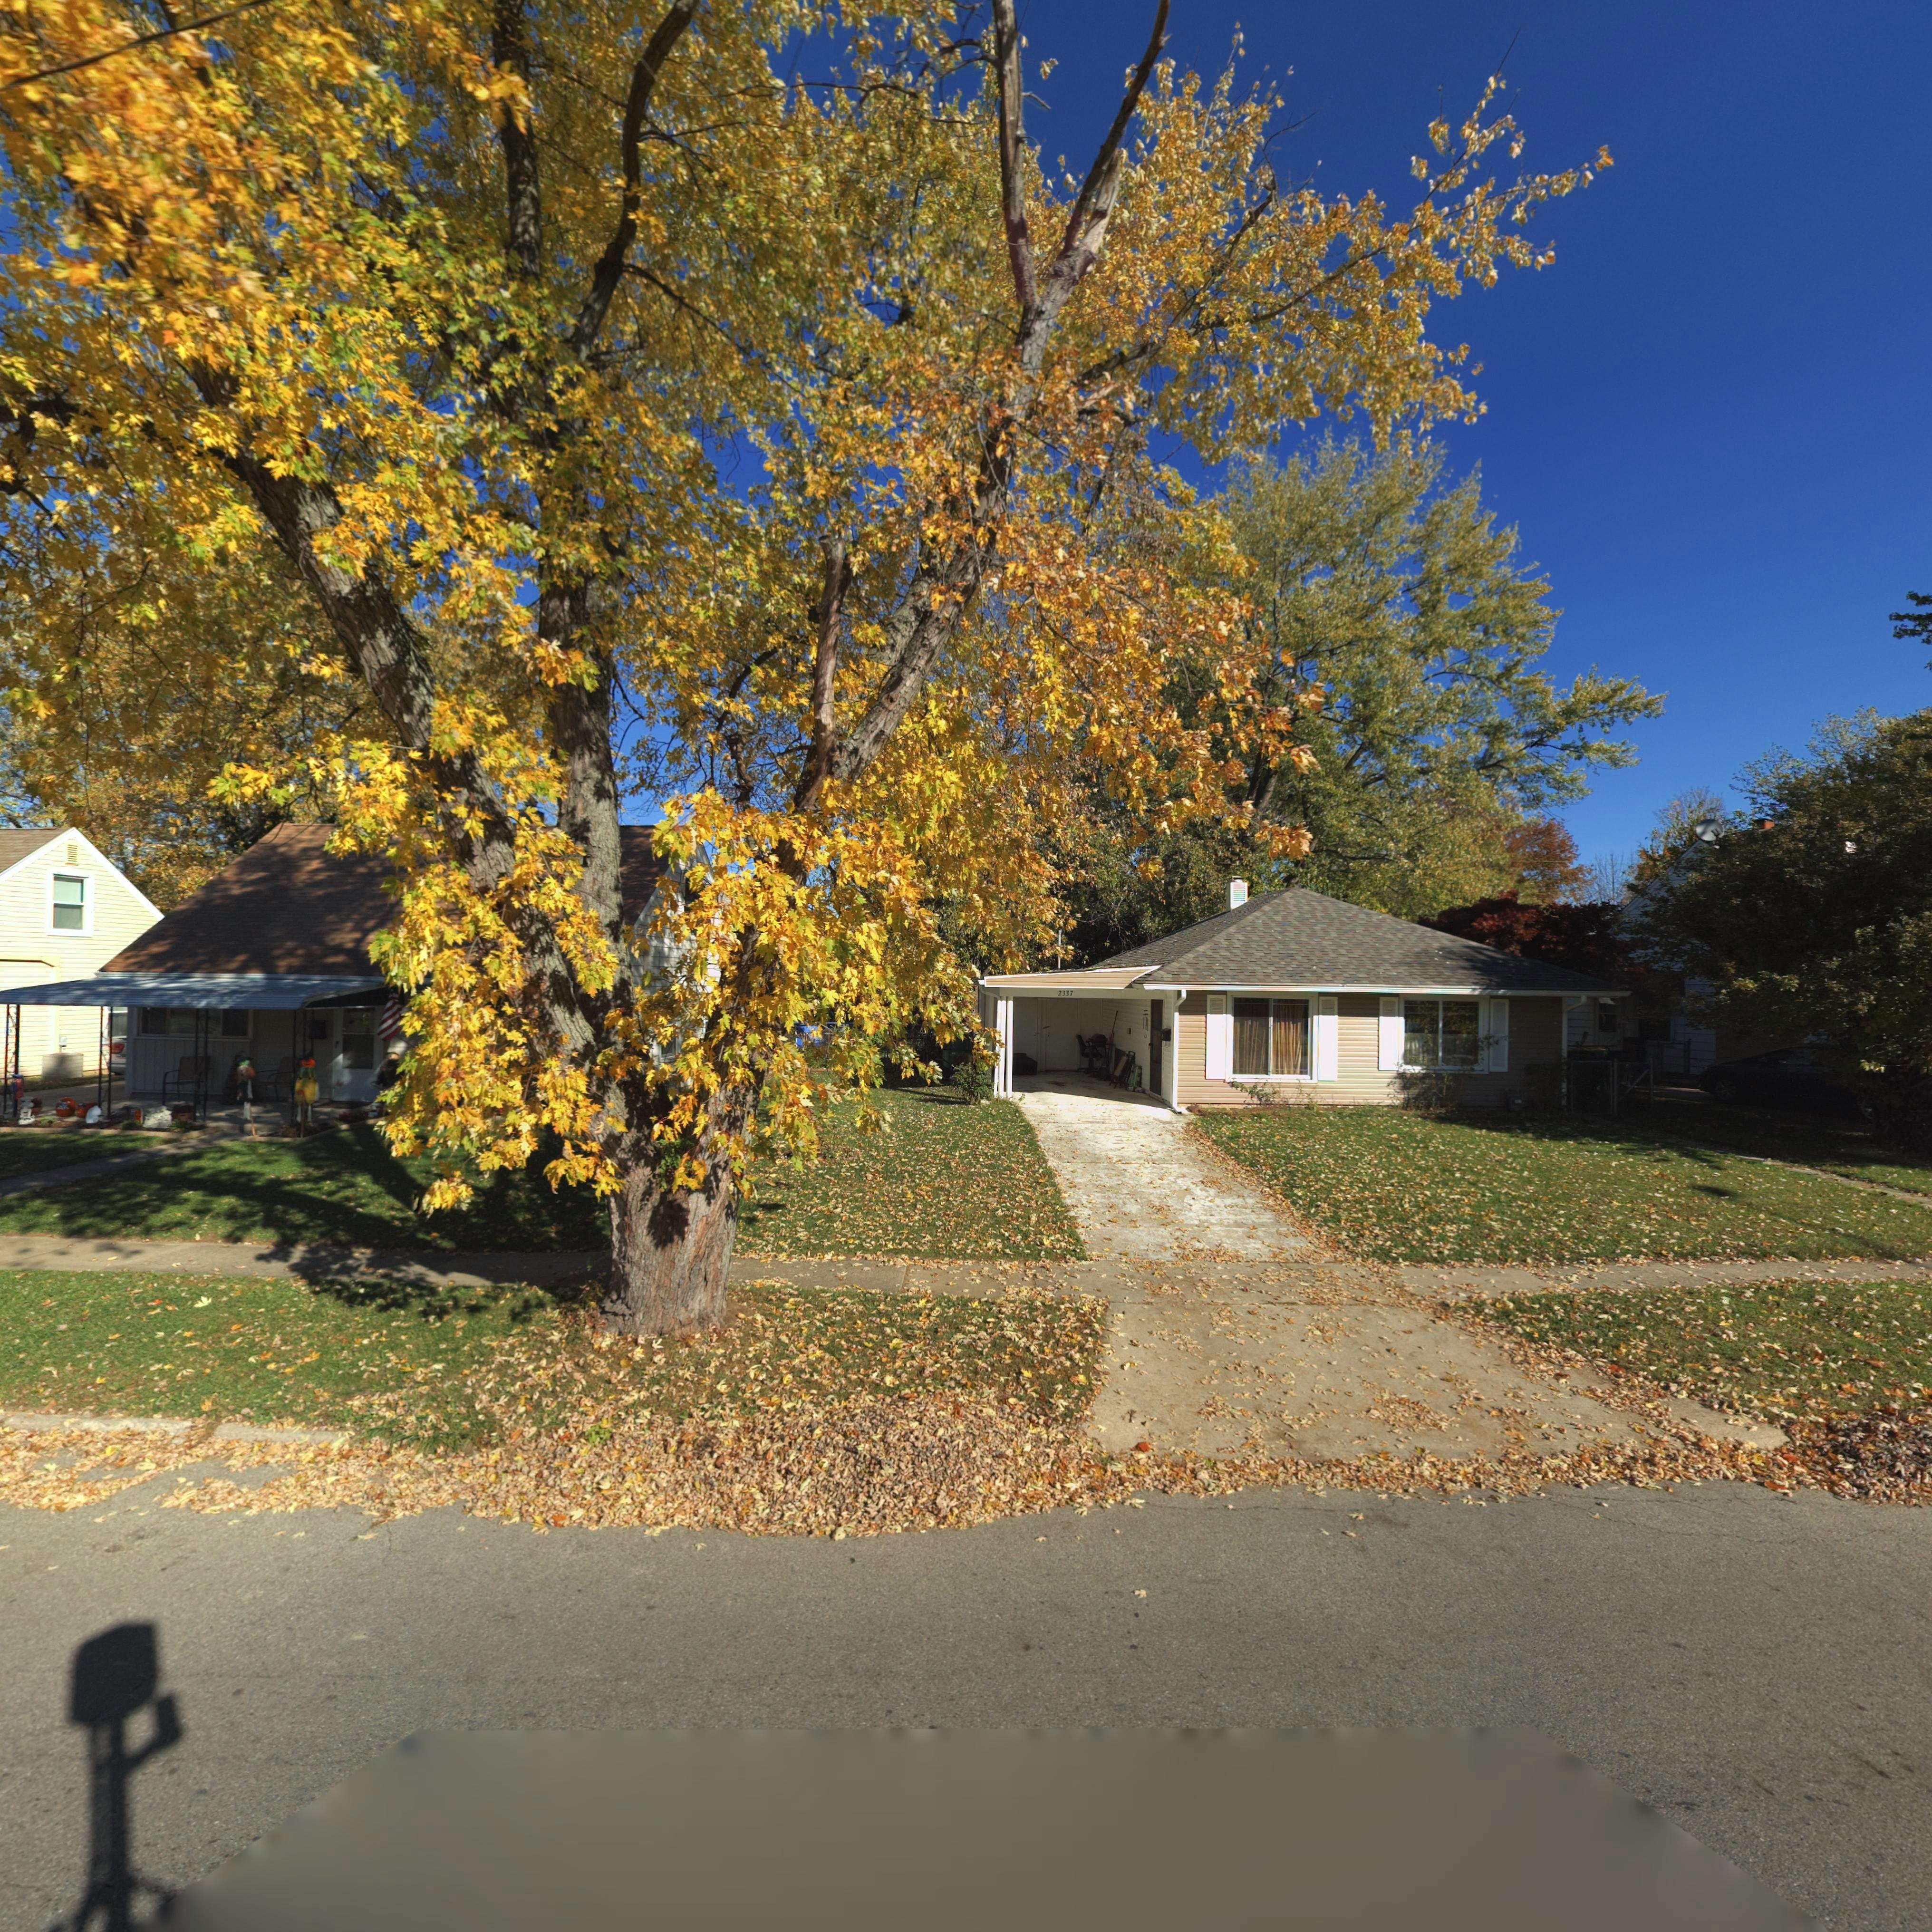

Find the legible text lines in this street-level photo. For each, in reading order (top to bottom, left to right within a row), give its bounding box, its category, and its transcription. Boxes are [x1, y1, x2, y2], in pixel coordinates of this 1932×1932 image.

[1057, 989, 1074, 997] StreetNumber: 2337